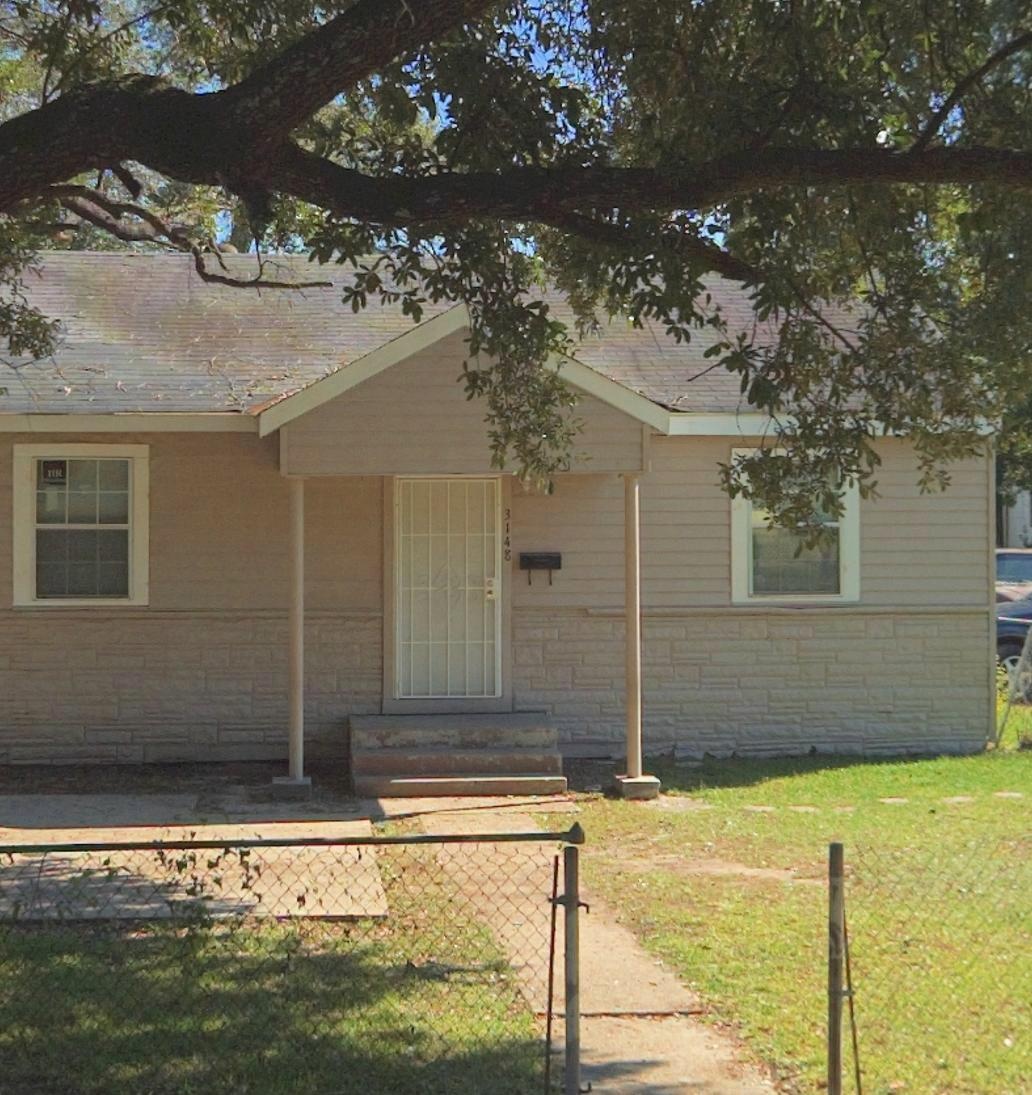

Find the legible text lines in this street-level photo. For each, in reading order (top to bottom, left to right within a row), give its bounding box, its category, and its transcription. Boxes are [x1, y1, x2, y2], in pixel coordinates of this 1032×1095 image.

[503, 507, 513, 562] StreetNumber: 3148